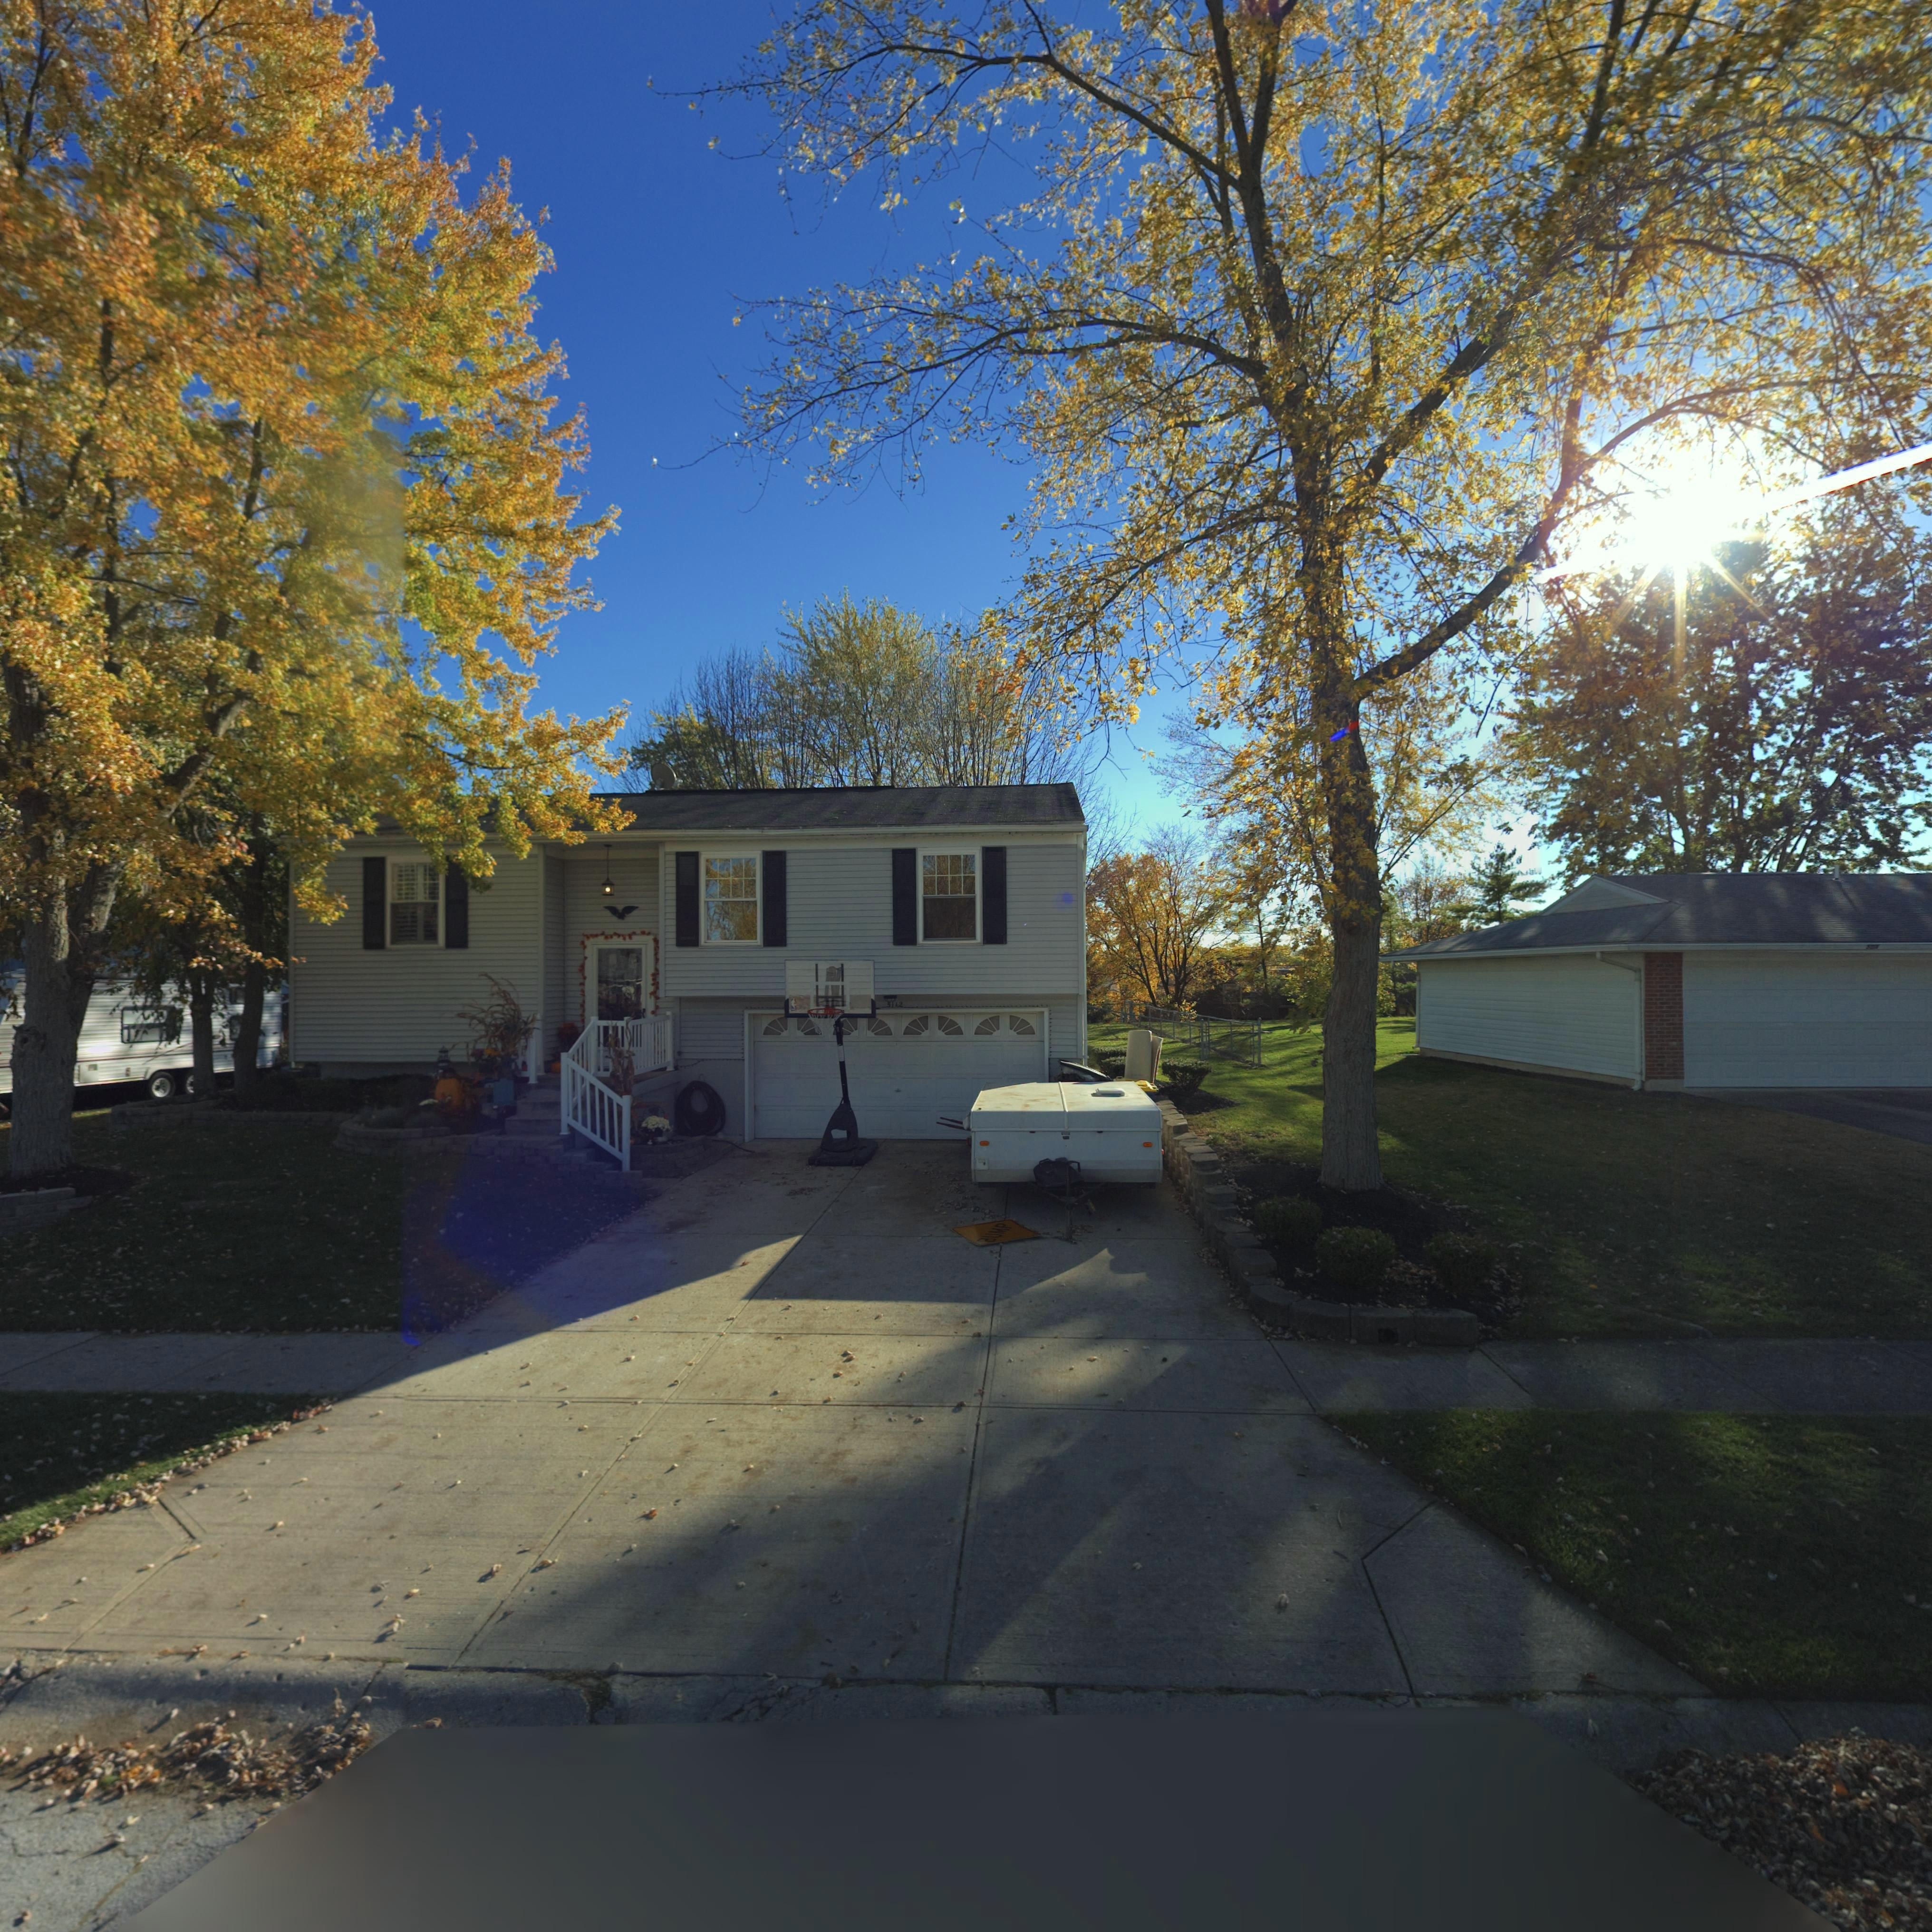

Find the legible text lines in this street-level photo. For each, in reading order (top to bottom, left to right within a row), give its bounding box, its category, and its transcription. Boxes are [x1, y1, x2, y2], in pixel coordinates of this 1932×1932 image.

[1865, 944, 1881, 949] StreetNumber: 5***
[887, 1001, 903, 1007] StreetNumber: 5112